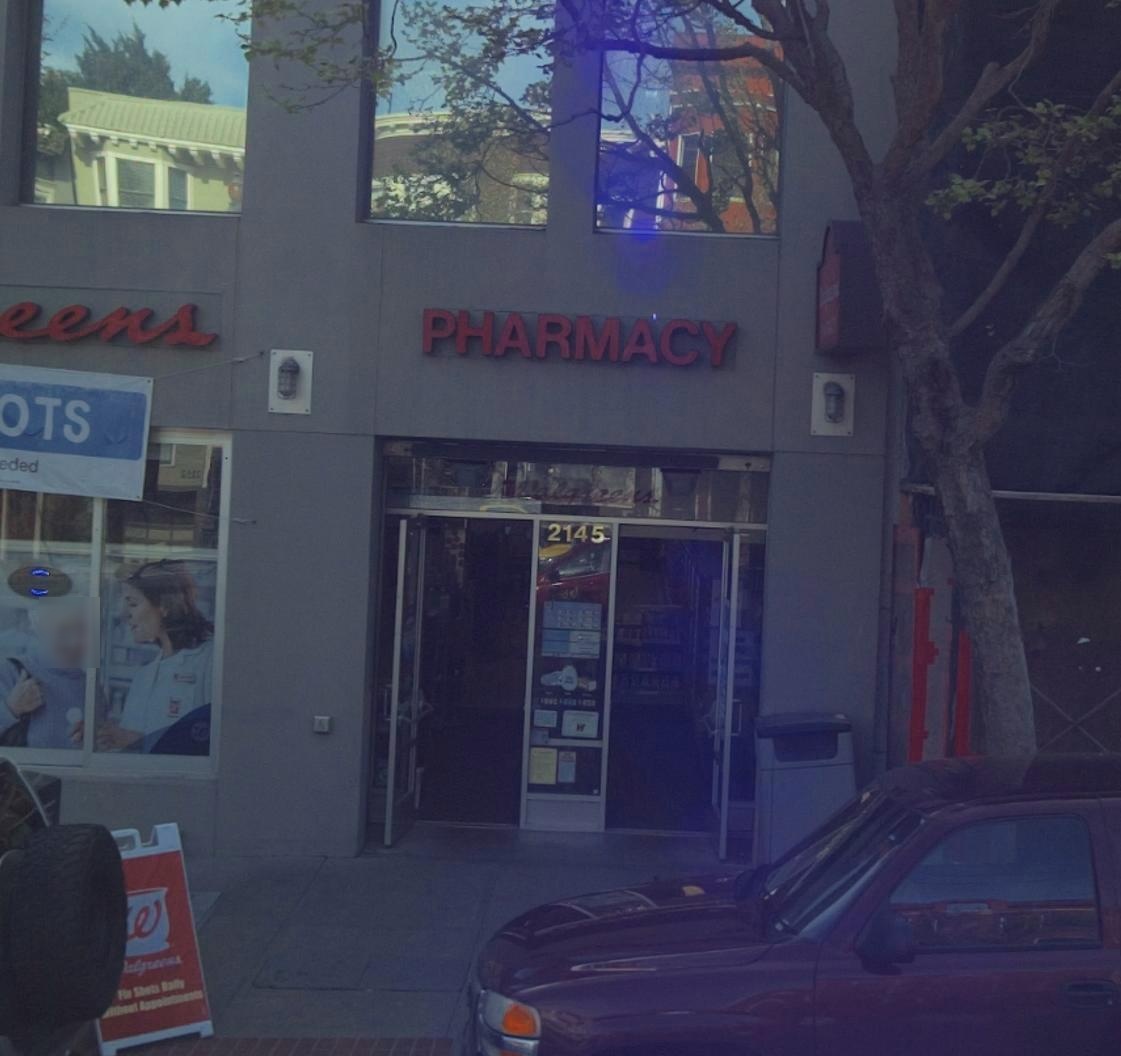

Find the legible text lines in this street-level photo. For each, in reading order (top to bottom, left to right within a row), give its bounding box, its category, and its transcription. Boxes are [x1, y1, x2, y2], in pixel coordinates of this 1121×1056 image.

[44, 299, 223, 352] BusinessName: ens
[419, 302, 742, 371] None: PHARMACY
[29, 391, 95, 448] None: TS
[6, 455, 41, 476] None: ded
[498, 474, 661, 510] BusinessName: Walgreens
[545, 520, 607, 547] StreetNumber: 2145
[124, 950, 187, 980] None: algreens